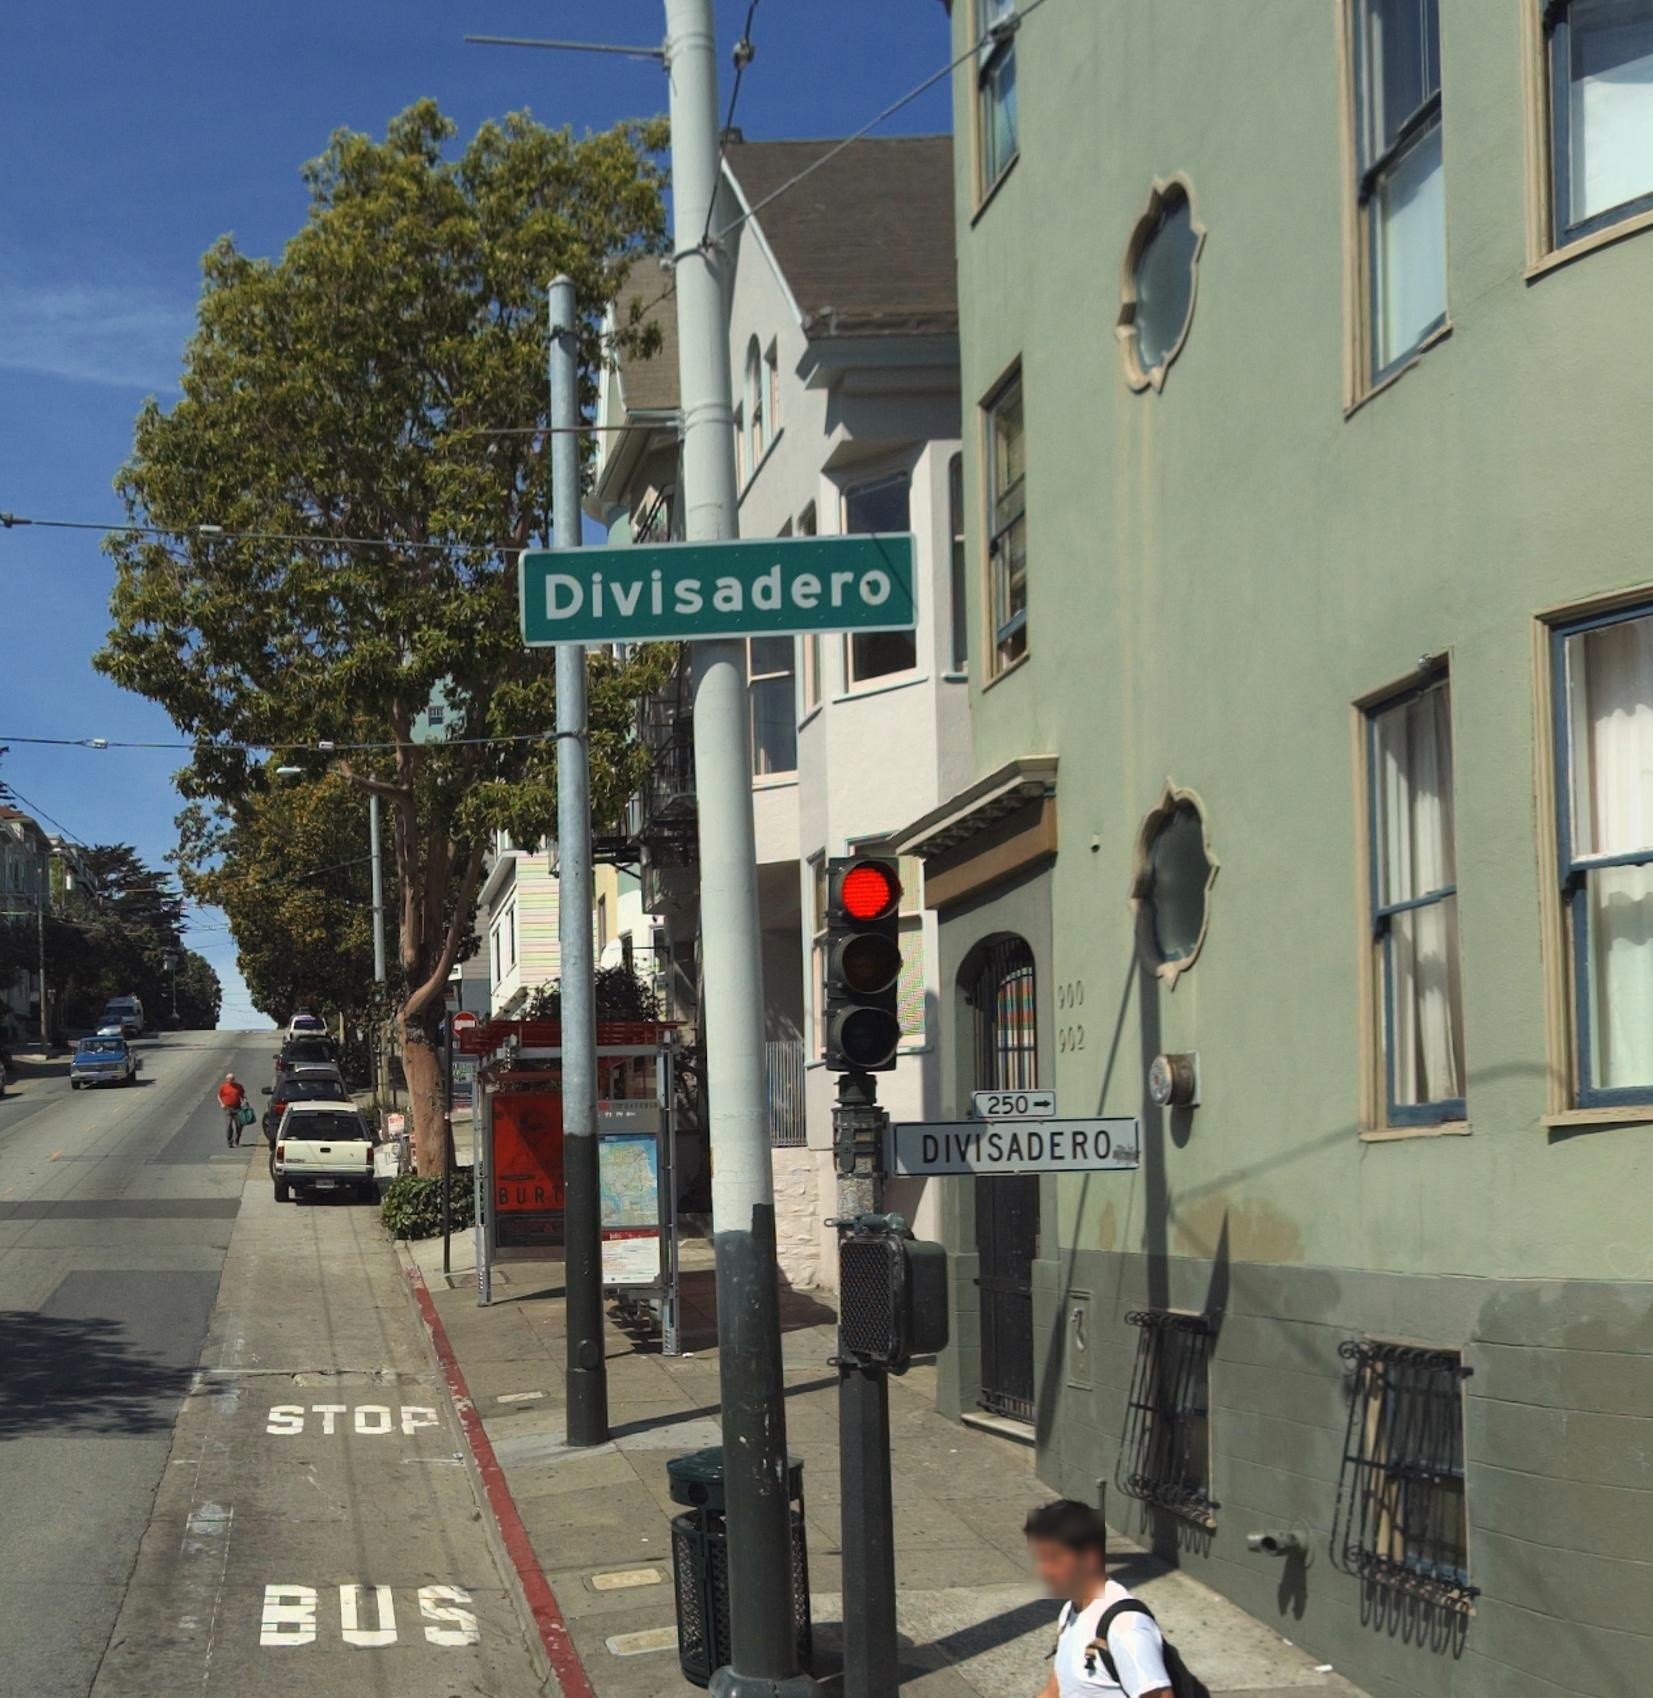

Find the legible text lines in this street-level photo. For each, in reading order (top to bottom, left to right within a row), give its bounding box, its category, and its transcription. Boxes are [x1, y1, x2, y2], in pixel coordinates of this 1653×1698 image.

[539, 559, 893, 625] StreetName: Divisadero
[1053, 973, 1087, 1017] StreetNumber: 900
[1051, 1019, 1087, 1058] StreetNumber: 902
[986, 1093, 1053, 1117] StreetNumberRange: 250->
[921, 1127, 1112, 1166] StreetName: DIVISADERO
[496, 1182, 560, 1207] None: BURT
[262, 1398, 448, 1441] None: STOP
[253, 1576, 489, 1653] None: BUS